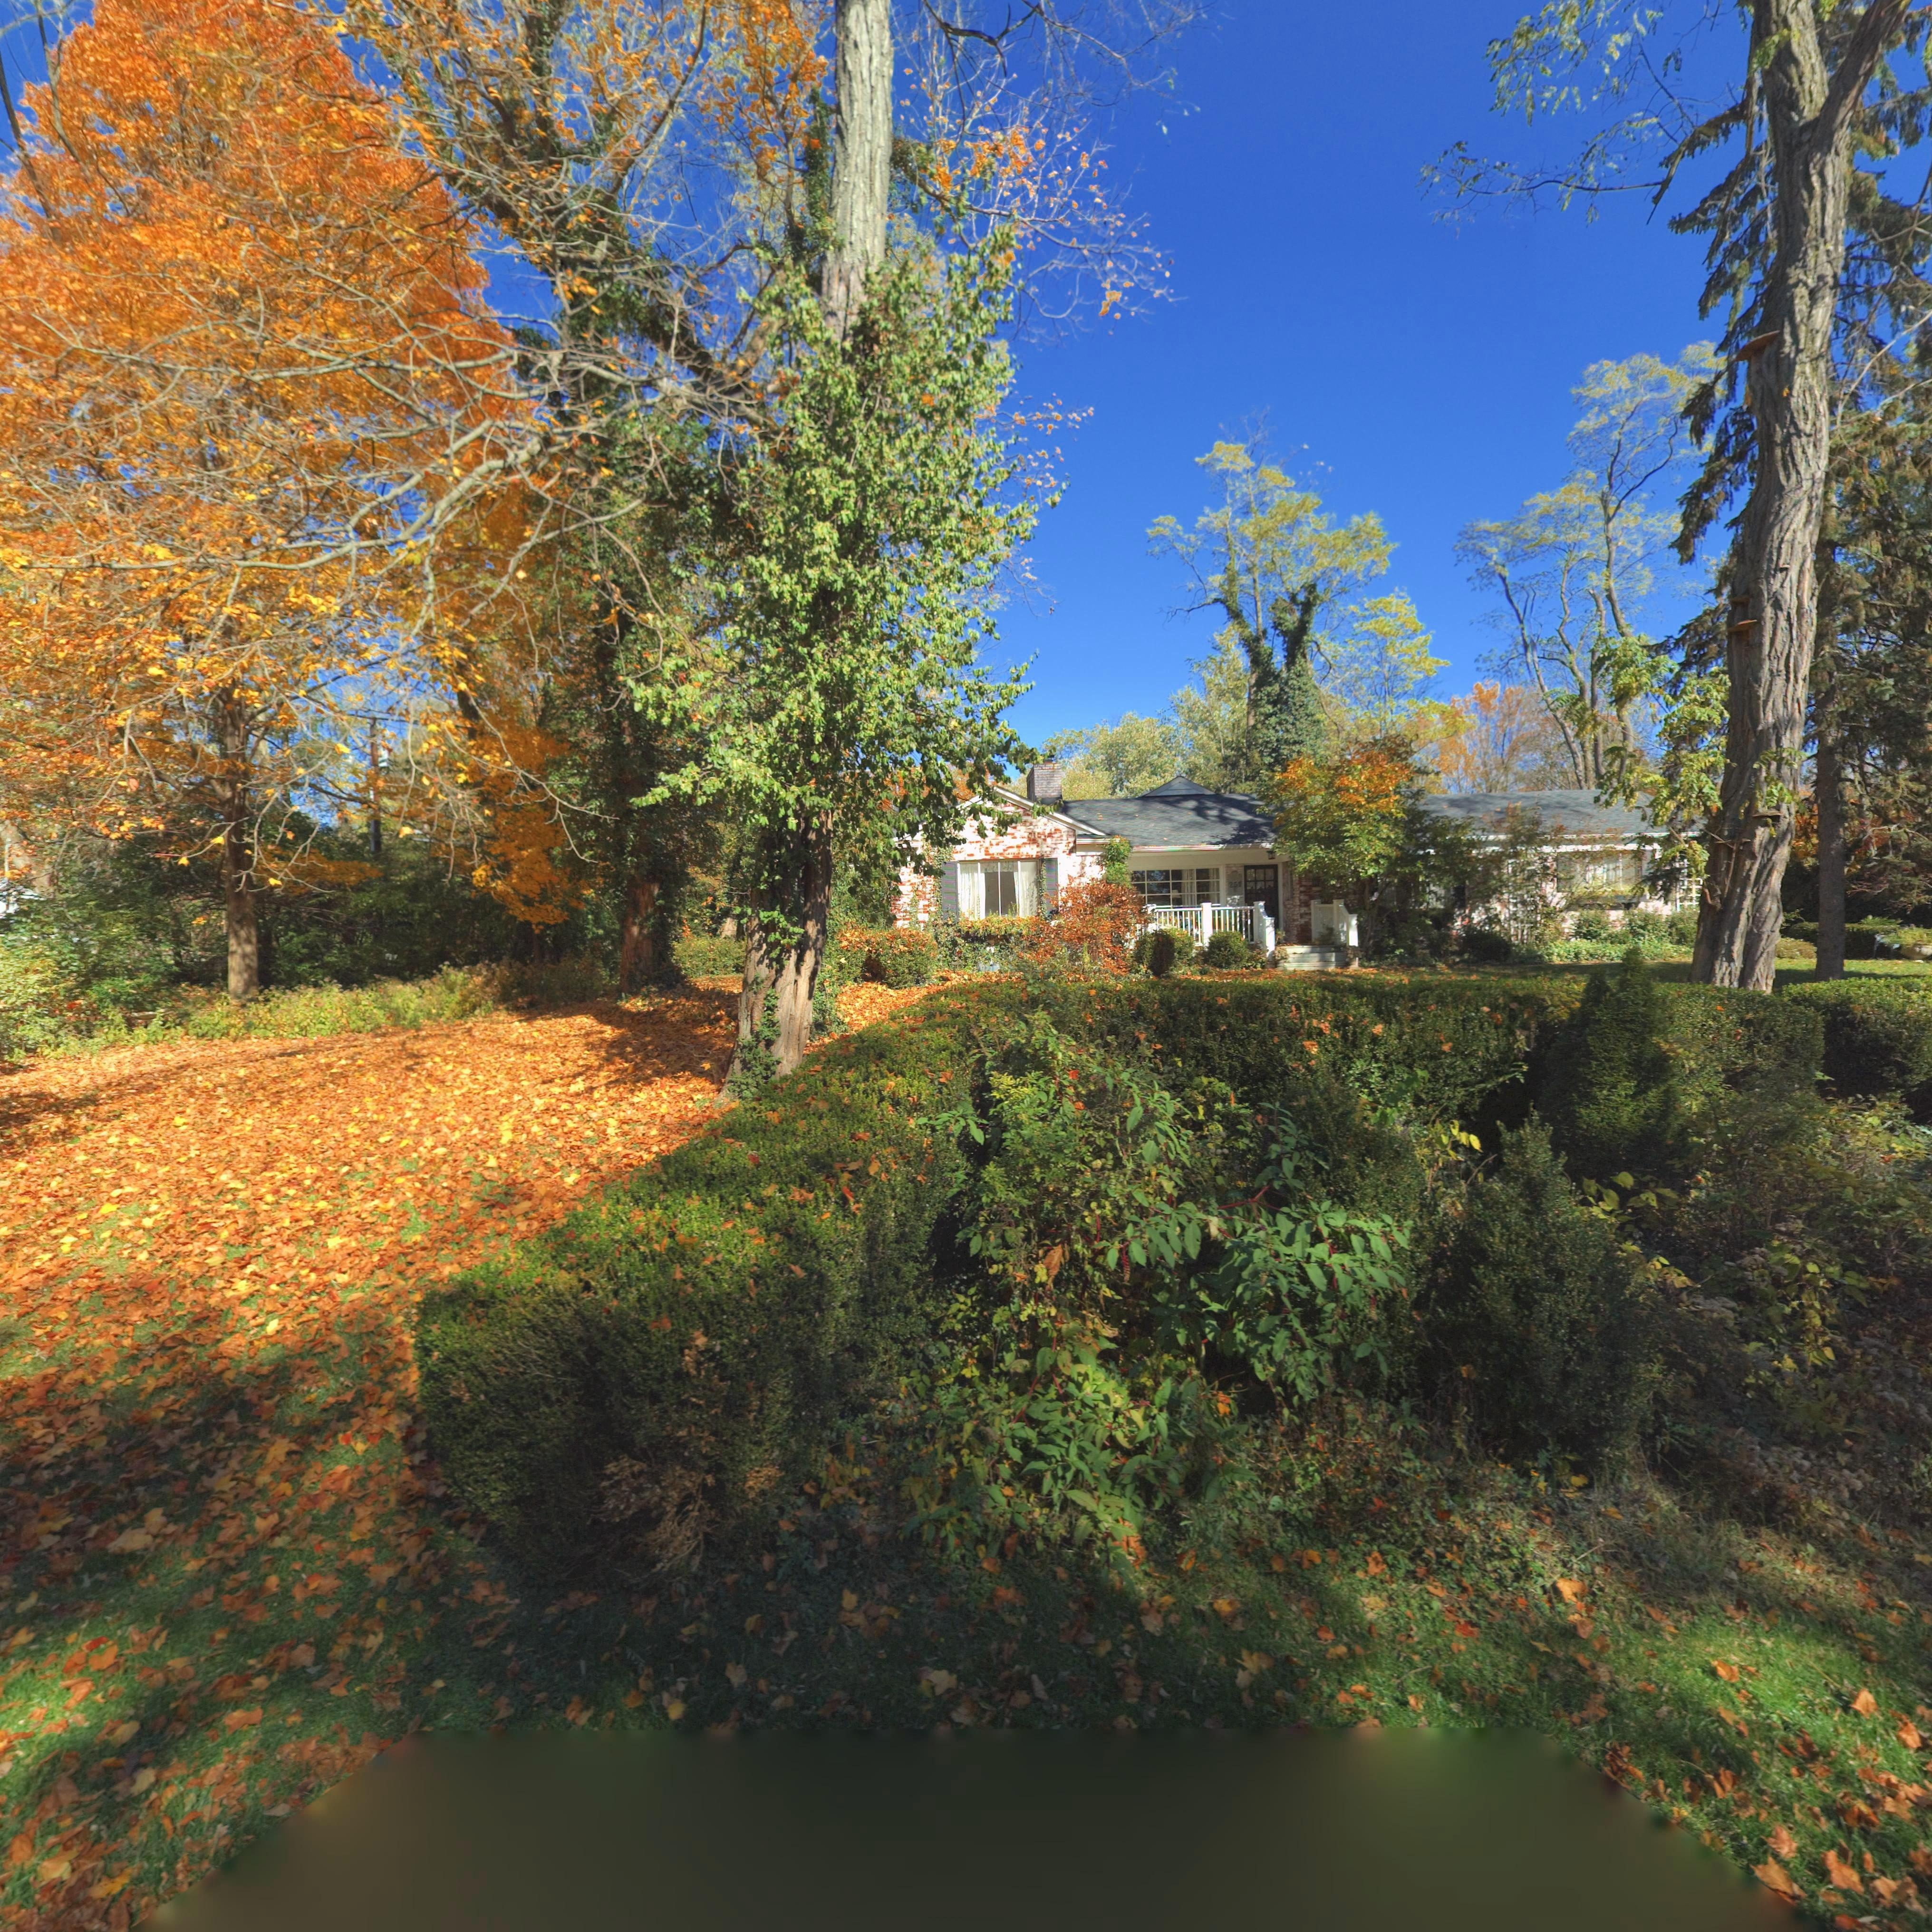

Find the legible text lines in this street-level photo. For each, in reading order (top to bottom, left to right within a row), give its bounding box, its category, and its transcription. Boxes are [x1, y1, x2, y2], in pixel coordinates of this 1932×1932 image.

[1228, 881, 1242, 889] StreetNumber: 25*